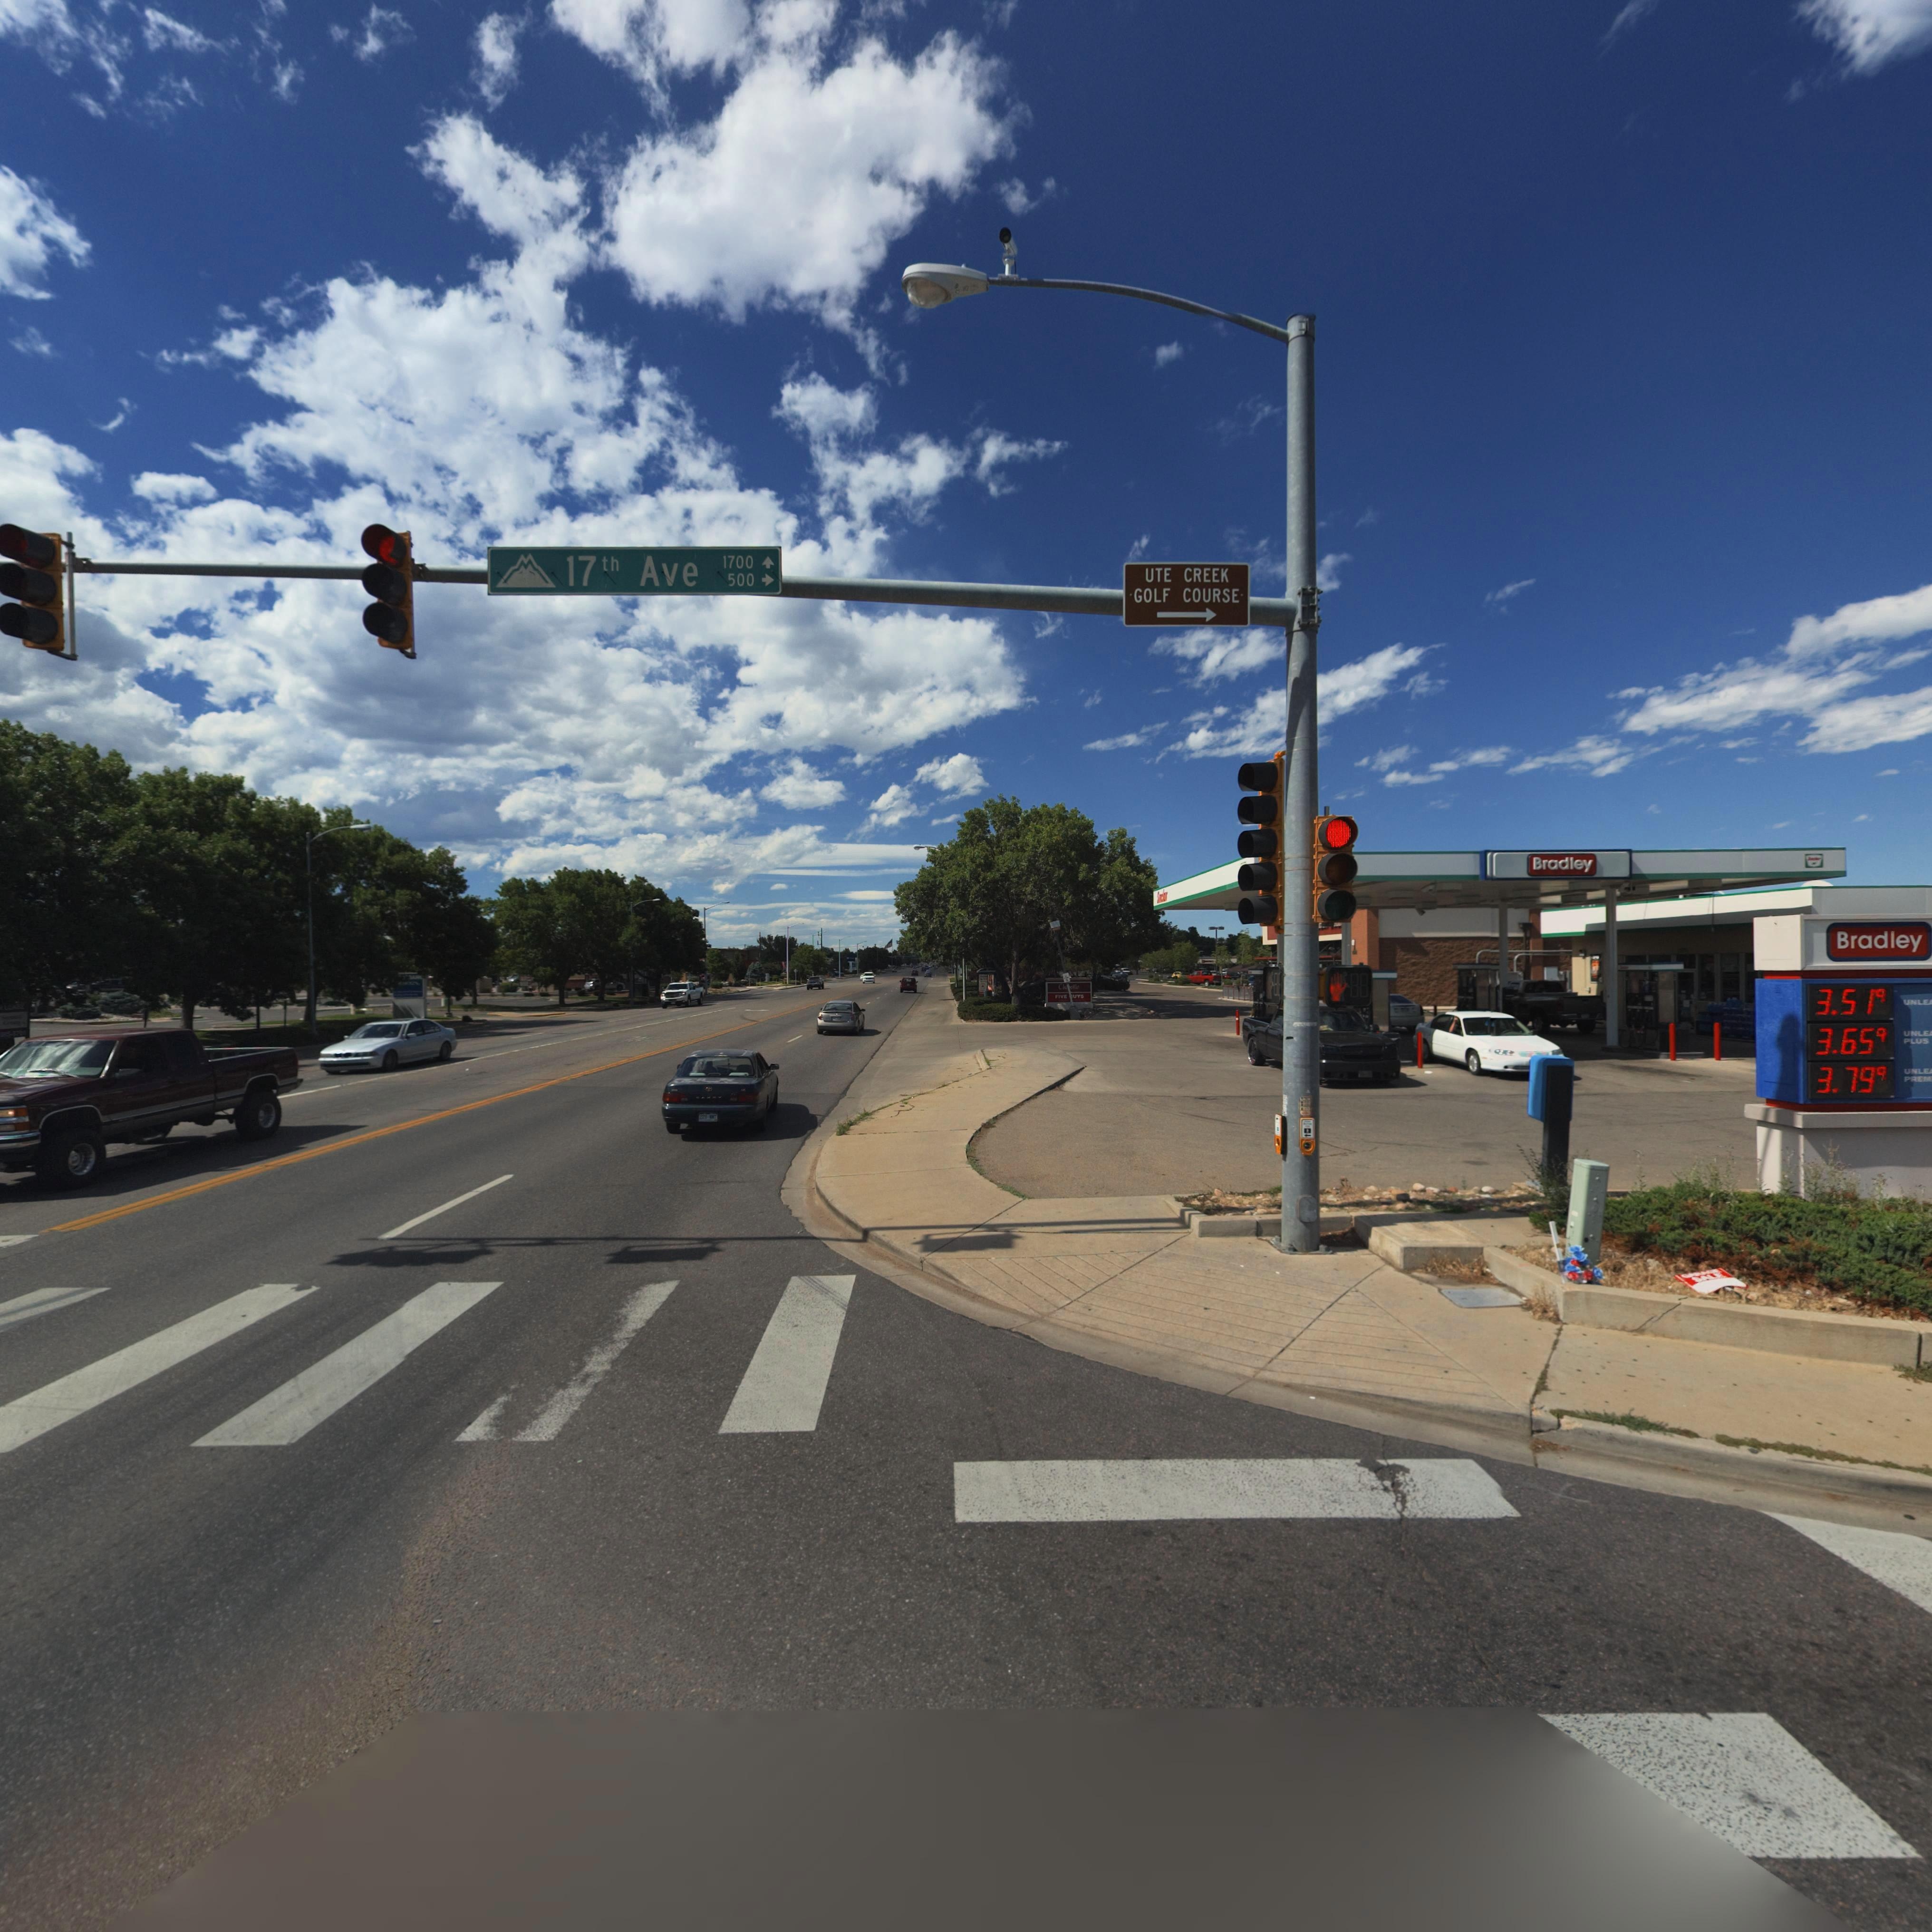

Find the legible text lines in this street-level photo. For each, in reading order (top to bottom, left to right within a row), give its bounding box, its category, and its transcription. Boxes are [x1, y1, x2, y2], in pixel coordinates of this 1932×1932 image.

[721, 554, 754, 570] StreetNumberRange: 1700
[564, 553, 699, 589] StreetName: 17th Ave
[727, 572, 775, 587] StreetNumberRange: 500 ->
[1532, 856, 1594, 873] BusinessName: Bradley
[1808, 856, 1822, 860] BusinessName: S*****r
[1156, 888, 1168, 903] BusinessName: S**cl**r
[1835, 929, 1924, 953] BusinessName: Bradley
[1619, 965, 1629, 969] BusinessName: S*******
[1057, 983, 1080, 990] BusinessName: Ch**o*le
[1054, 994, 1084, 999] BusinessName: FIVE *UYS